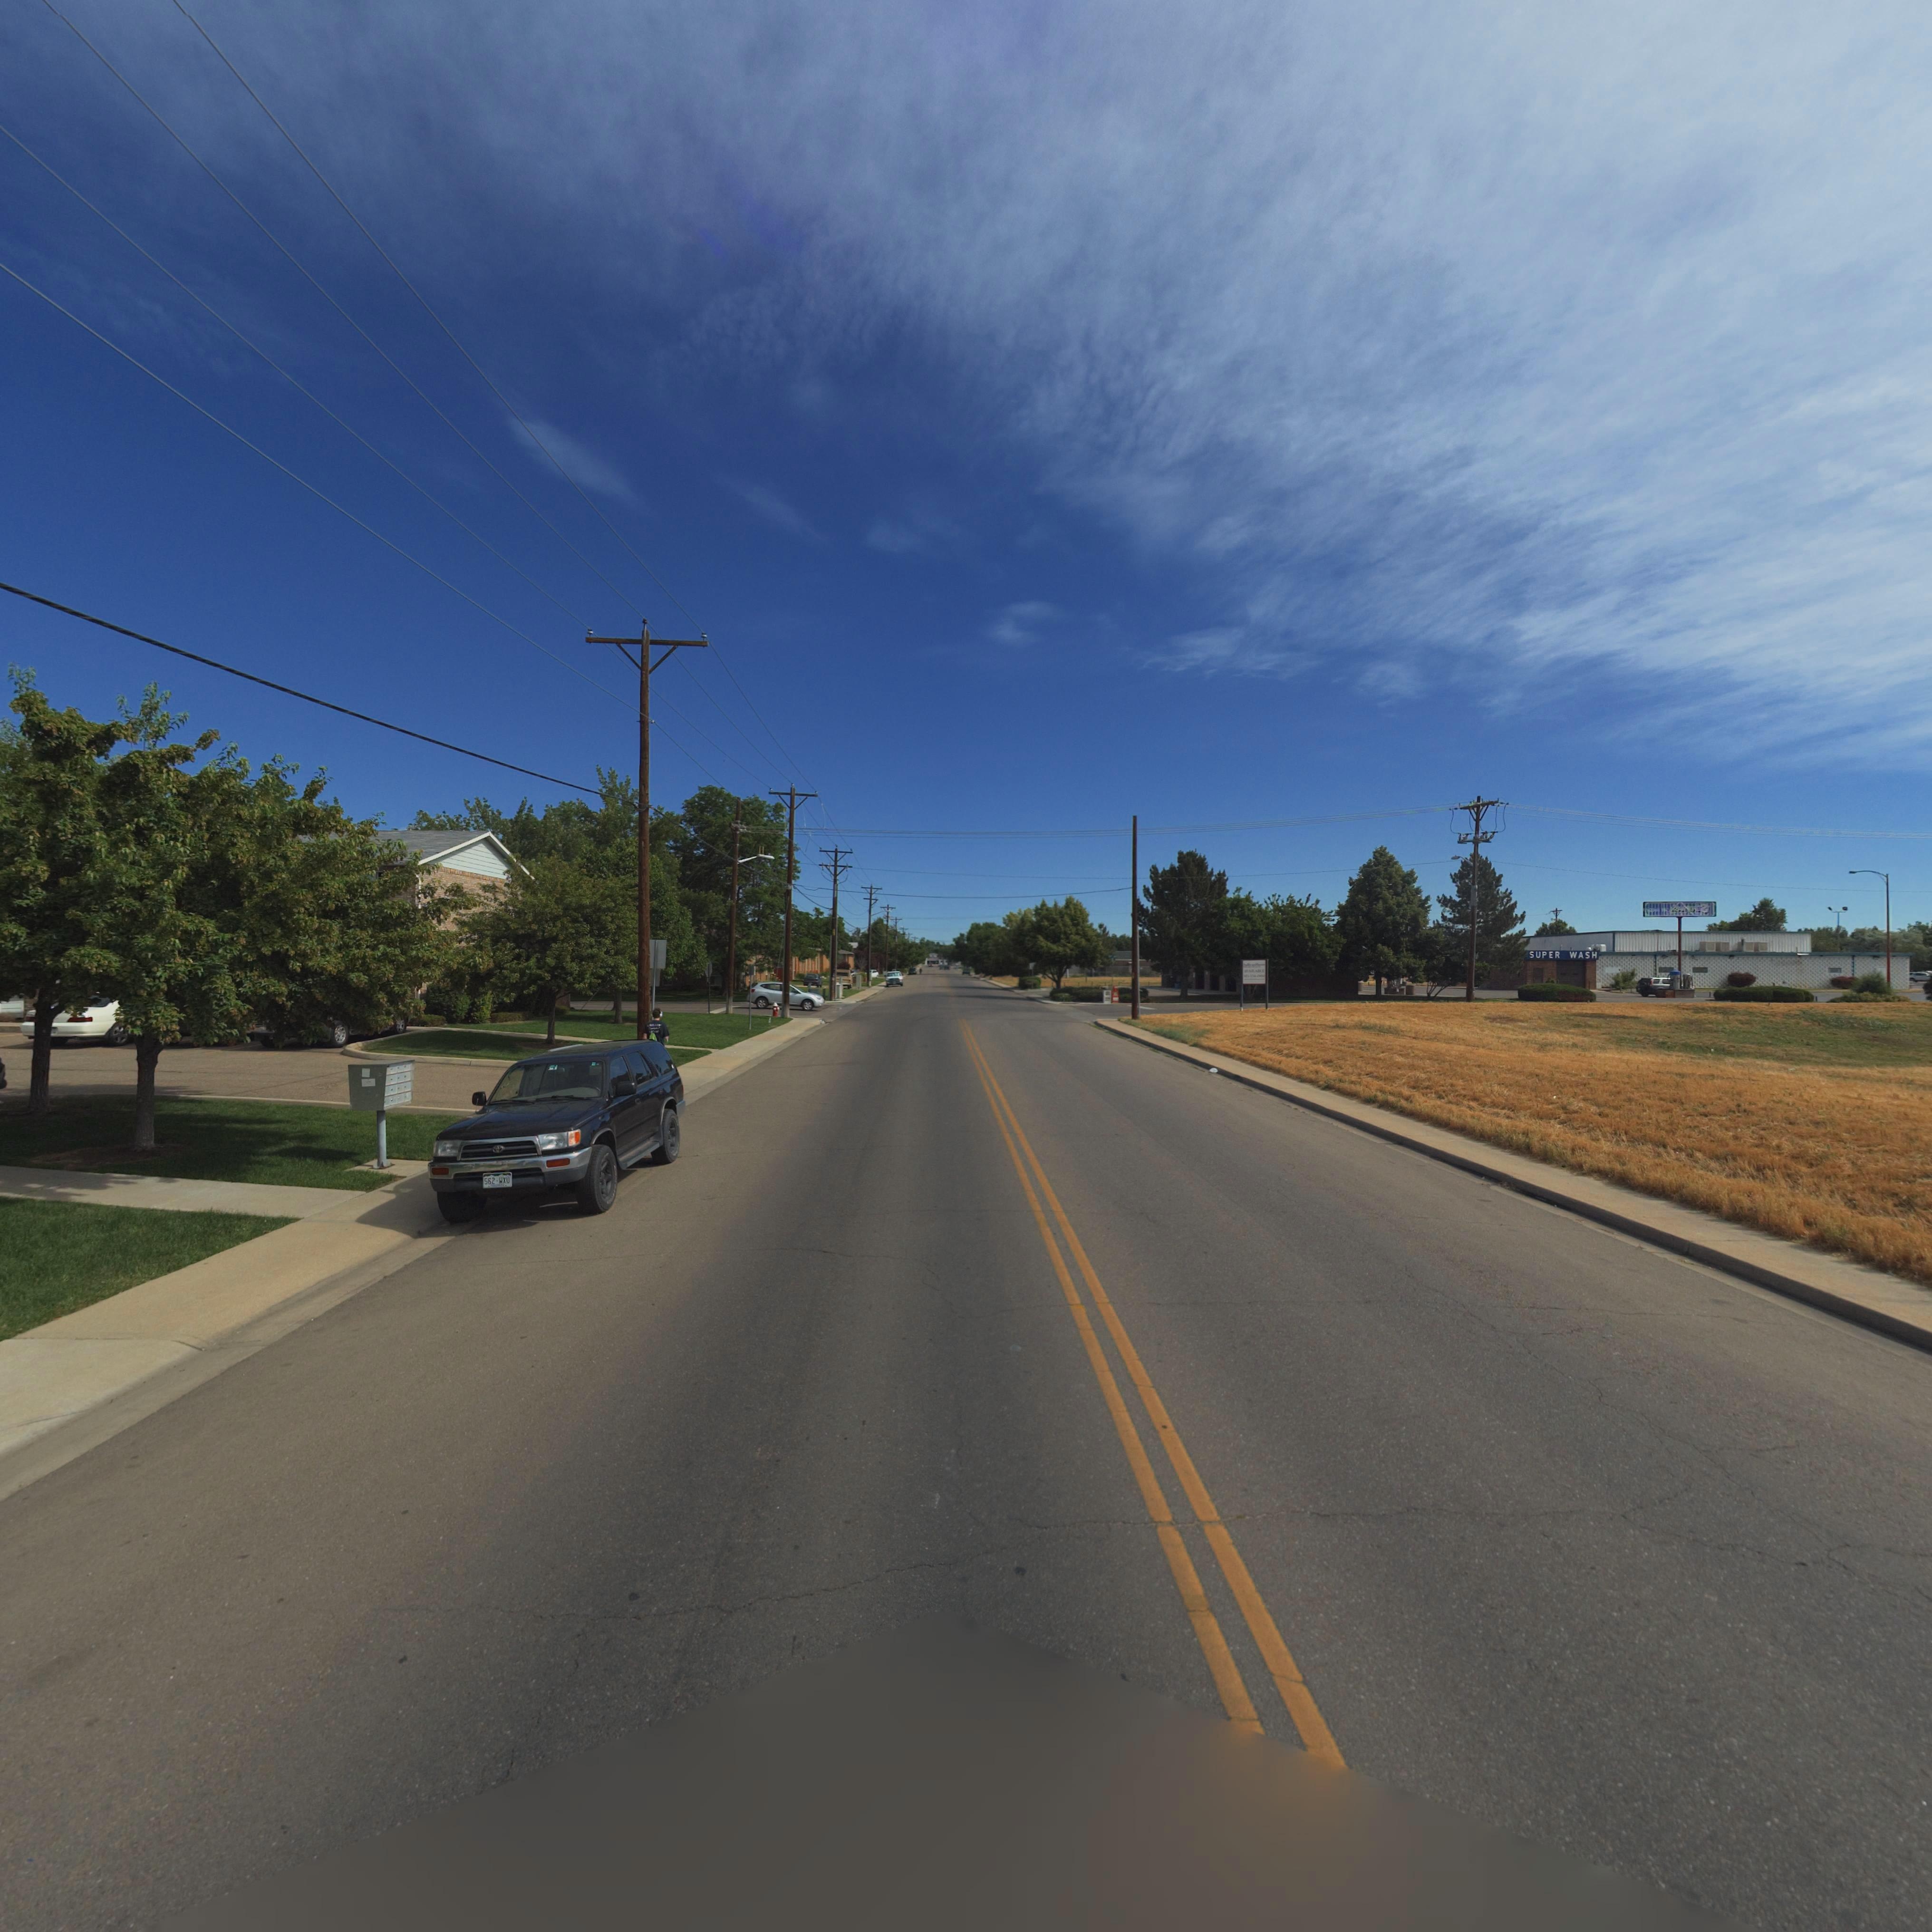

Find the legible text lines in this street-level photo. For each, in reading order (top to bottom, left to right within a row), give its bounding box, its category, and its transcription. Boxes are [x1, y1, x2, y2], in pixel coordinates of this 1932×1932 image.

[1529, 951, 1598, 959] BusinessName: SUPER WASH